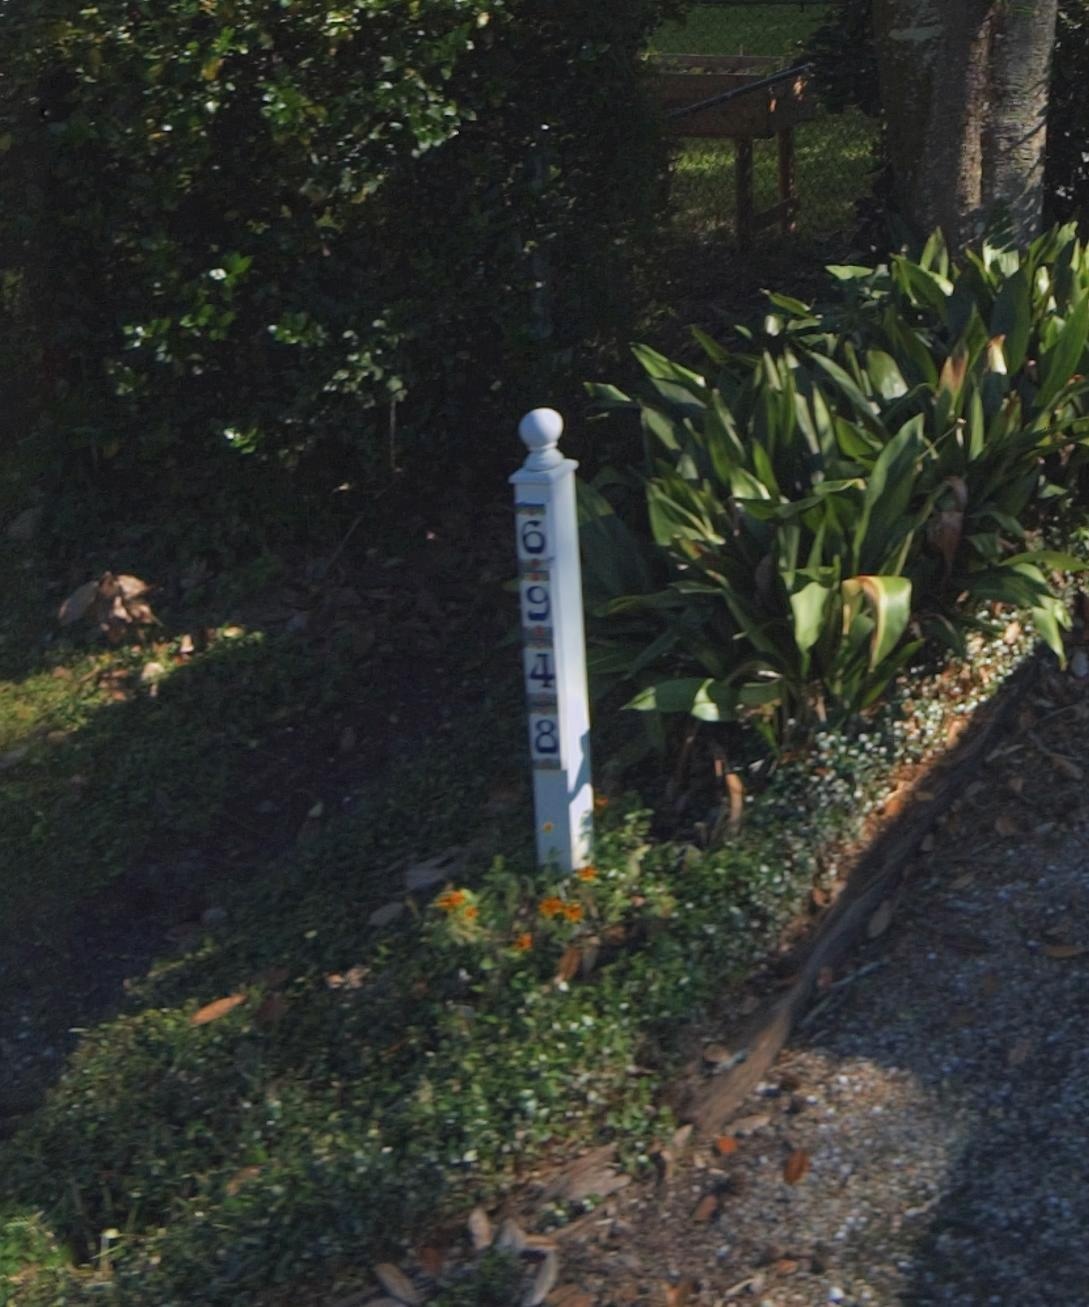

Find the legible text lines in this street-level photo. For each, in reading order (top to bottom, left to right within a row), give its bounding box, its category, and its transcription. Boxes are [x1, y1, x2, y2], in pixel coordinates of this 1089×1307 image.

[518, 516, 560, 759] StreetNumber: 6948